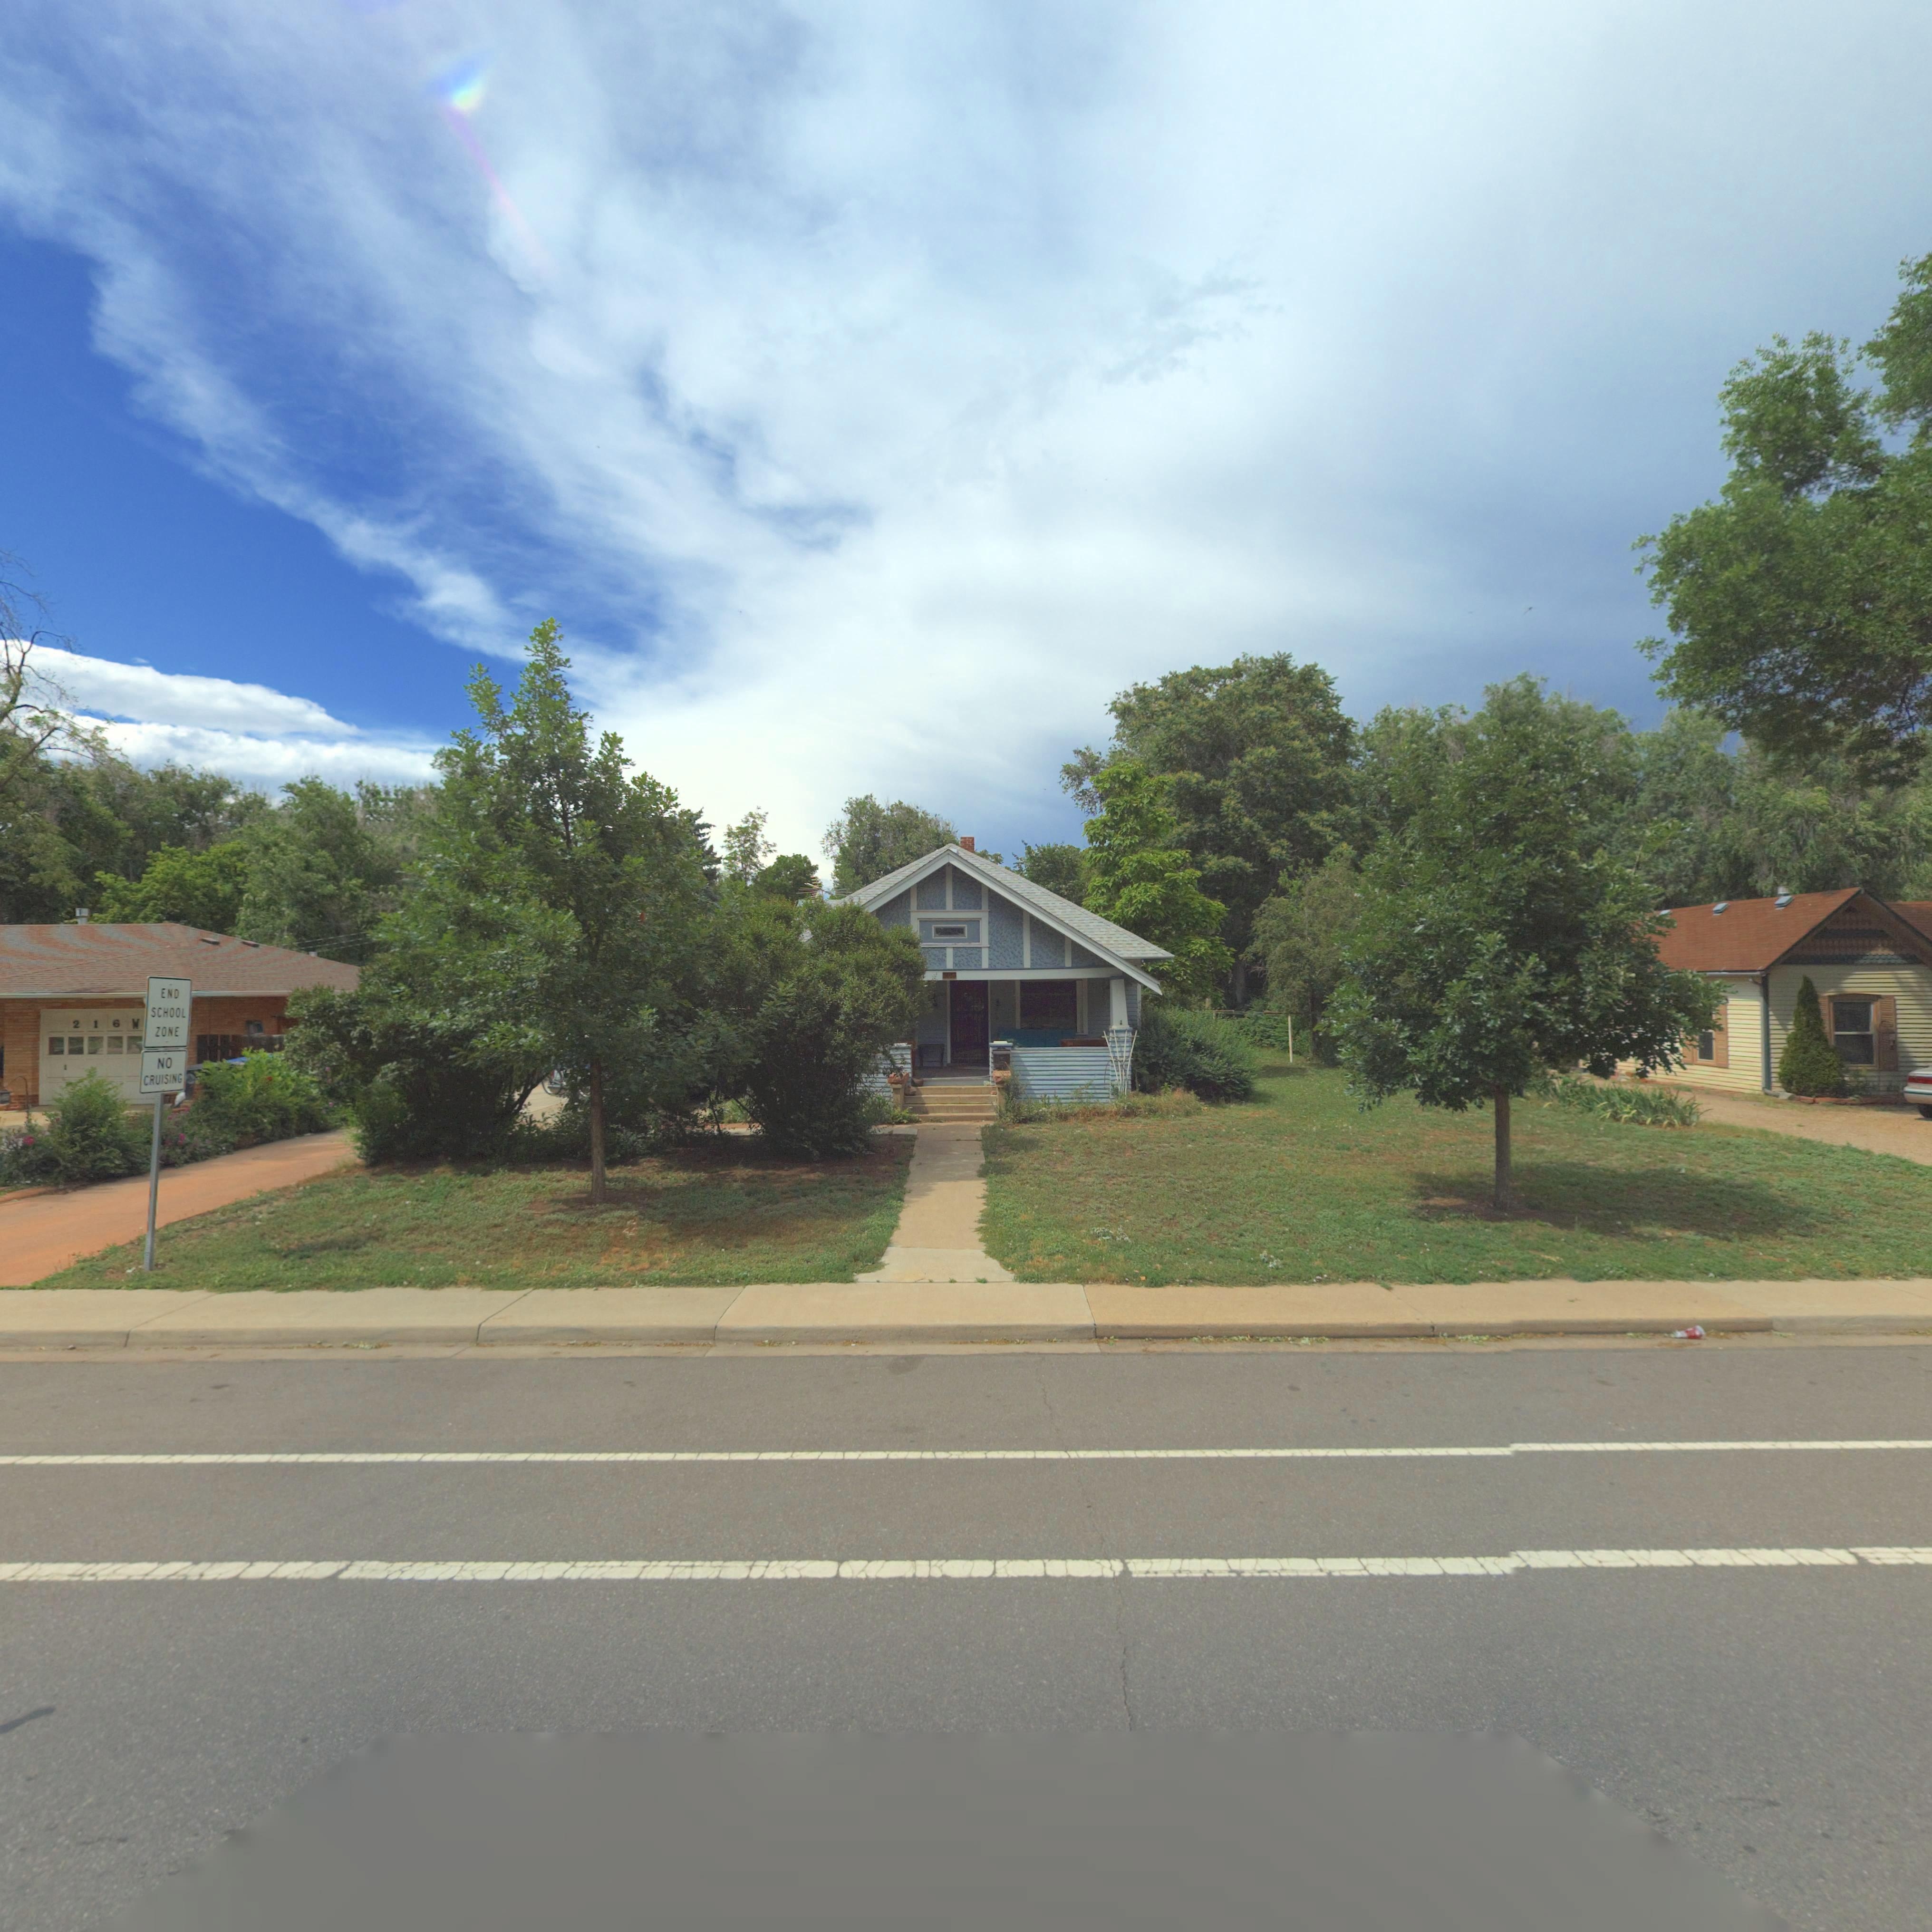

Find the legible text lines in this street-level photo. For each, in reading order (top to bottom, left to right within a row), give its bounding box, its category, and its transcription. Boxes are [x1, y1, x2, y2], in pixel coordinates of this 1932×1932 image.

[71, 1018, 121, 1029] StreetNumber: 216